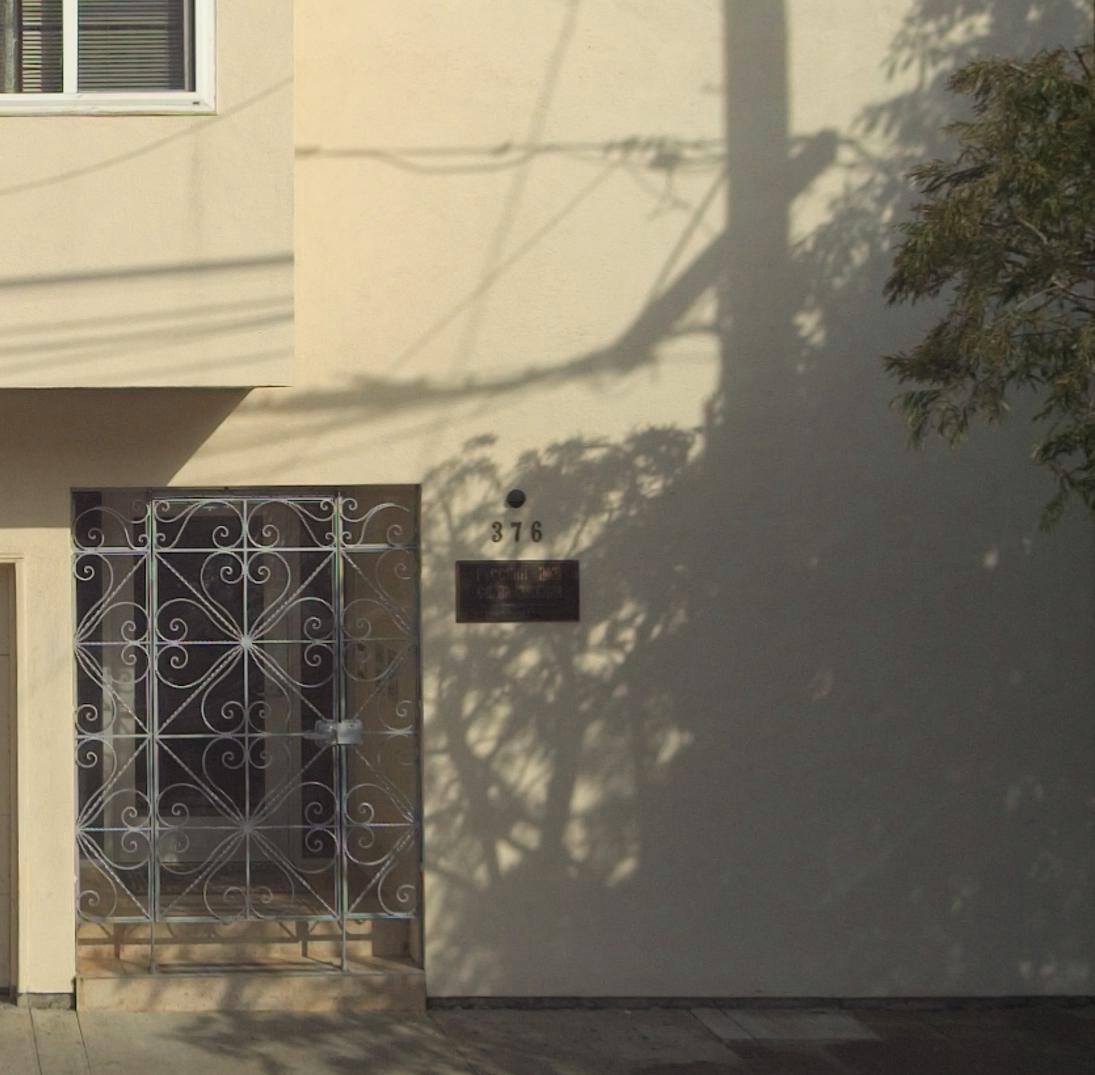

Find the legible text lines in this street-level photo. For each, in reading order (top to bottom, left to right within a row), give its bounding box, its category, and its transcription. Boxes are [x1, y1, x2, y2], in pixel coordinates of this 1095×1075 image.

[490, 519, 544, 544] StreetNumber: 376